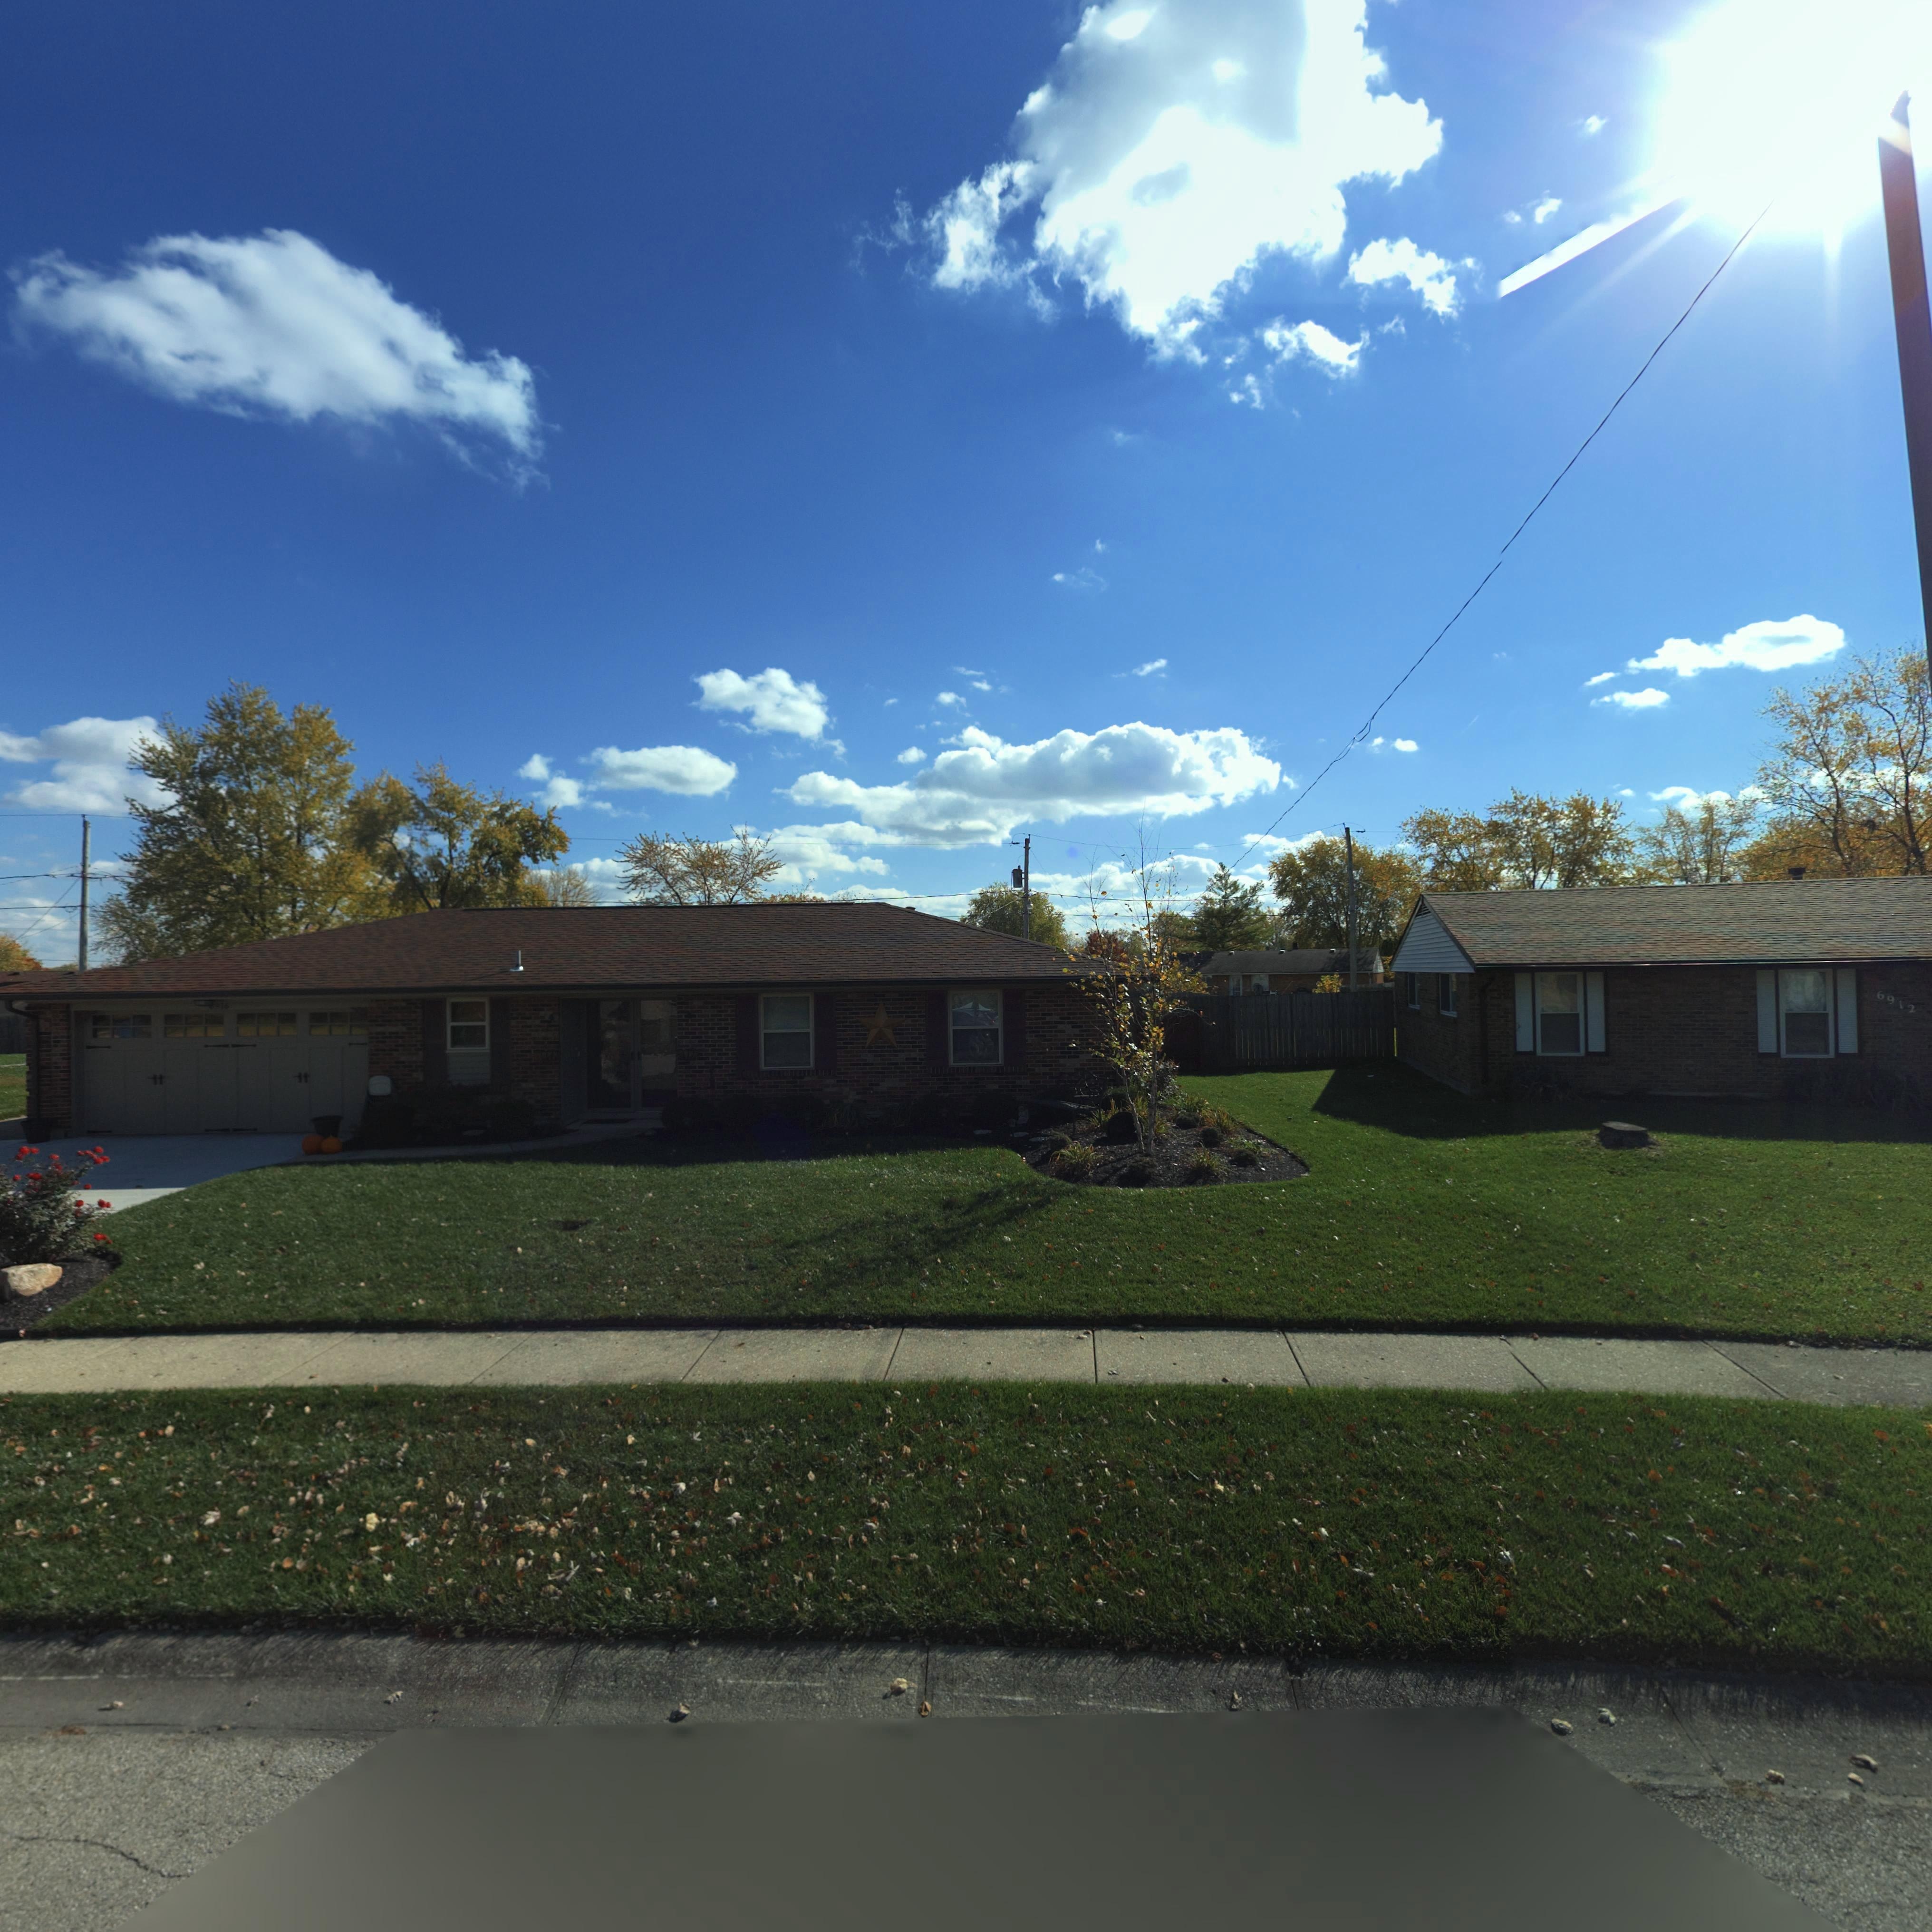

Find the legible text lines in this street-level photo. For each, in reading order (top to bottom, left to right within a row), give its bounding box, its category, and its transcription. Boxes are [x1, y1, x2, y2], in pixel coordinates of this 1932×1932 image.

[1875, 989, 1917, 1014] StreetNumber: 6912